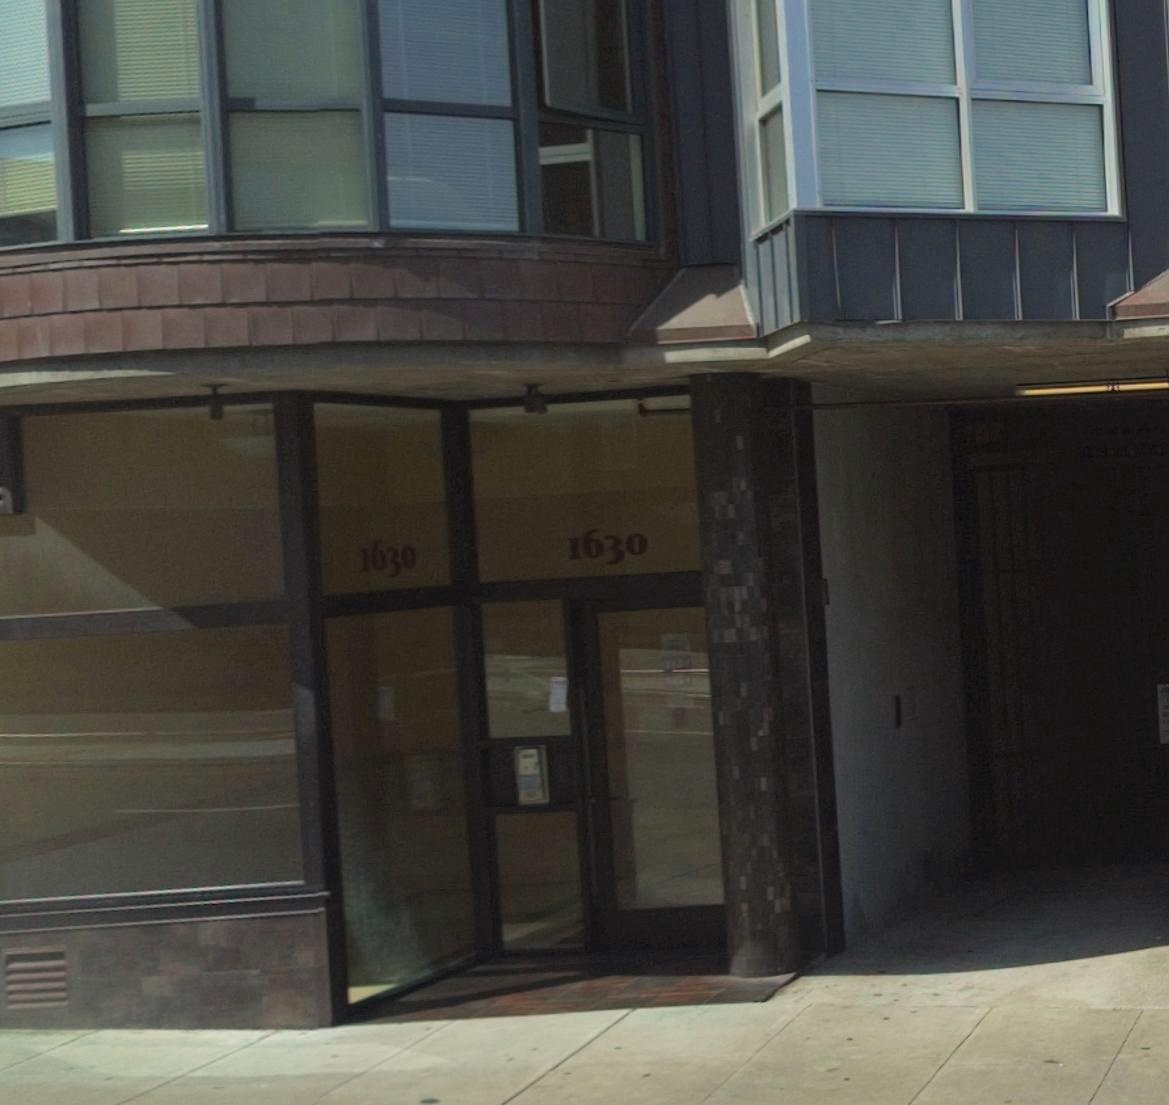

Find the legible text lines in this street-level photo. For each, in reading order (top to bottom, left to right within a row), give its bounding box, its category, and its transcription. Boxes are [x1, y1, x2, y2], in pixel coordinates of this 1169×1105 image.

[359, 537, 419, 580] StreetNumber: 1630
[565, 526, 651, 567] StreetNumber: 1630